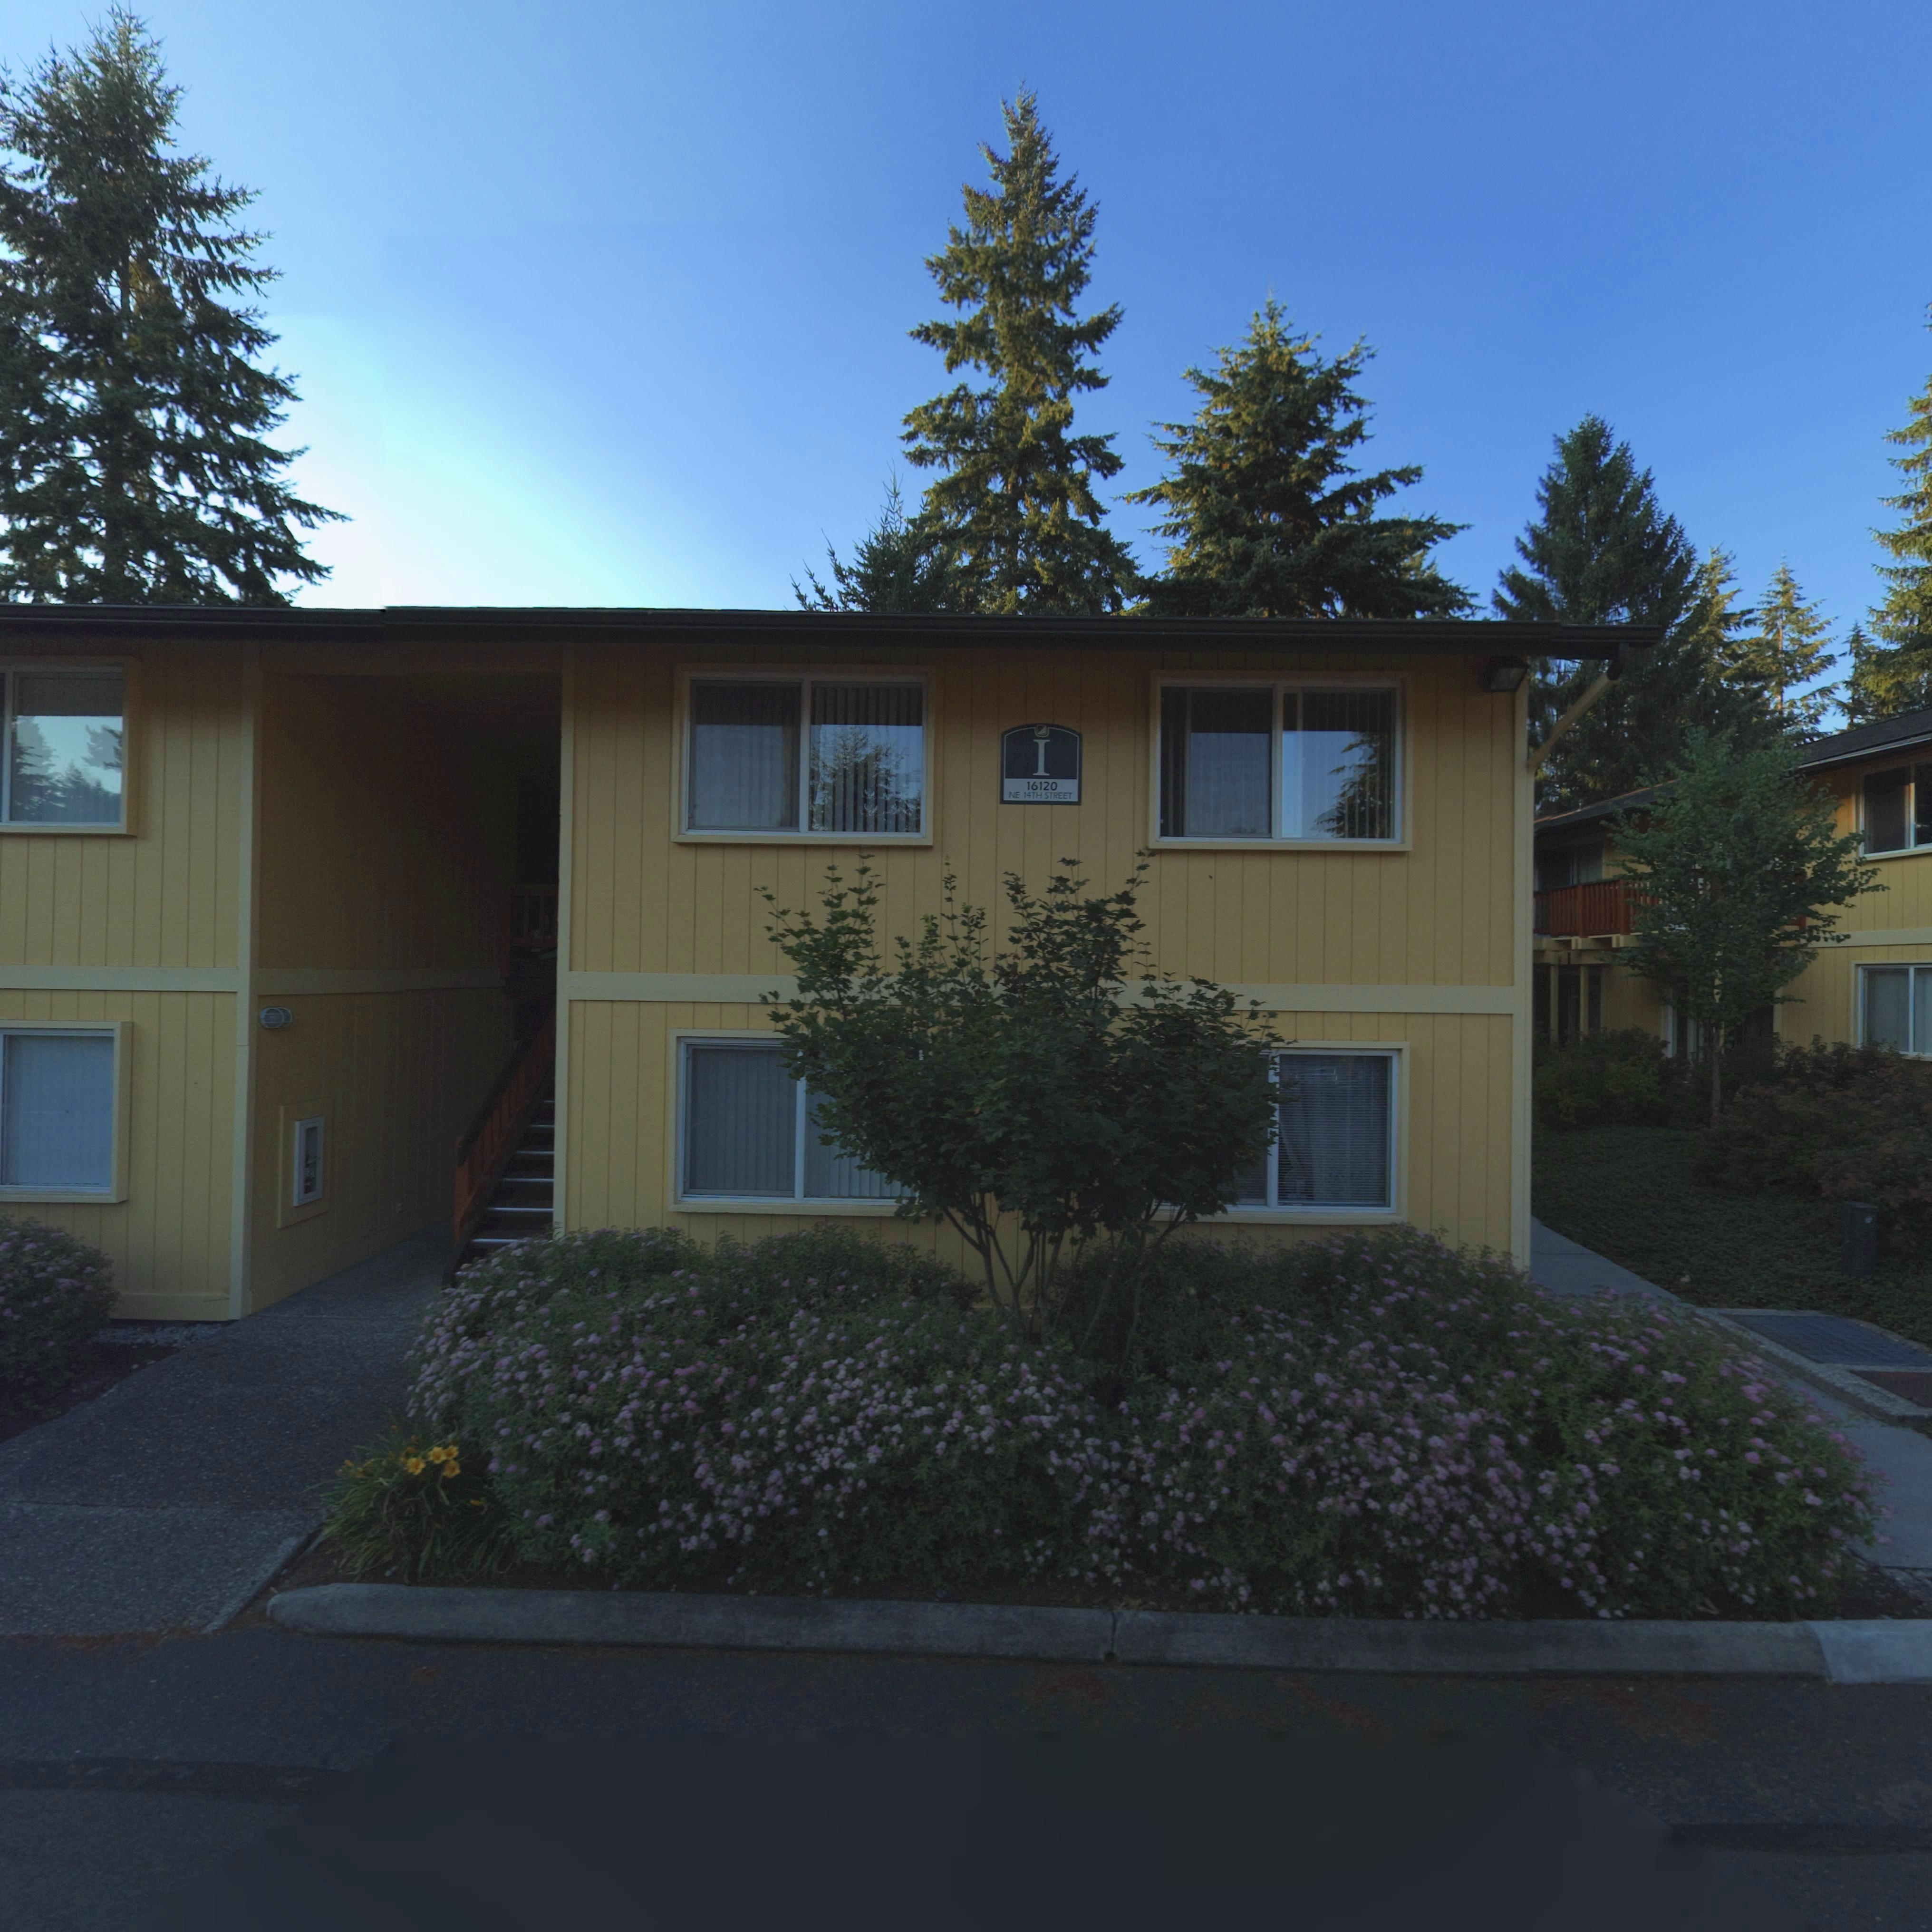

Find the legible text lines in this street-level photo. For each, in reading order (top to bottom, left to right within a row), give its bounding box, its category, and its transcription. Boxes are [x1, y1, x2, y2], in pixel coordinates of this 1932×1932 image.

[1031, 738, 1050, 776] SecondaryUnitDesignator: I
[1026, 782, 1058, 790] StreetNumber: 16120
[1008, 791, 1073, 799] StreetName: NE 14TH STREET